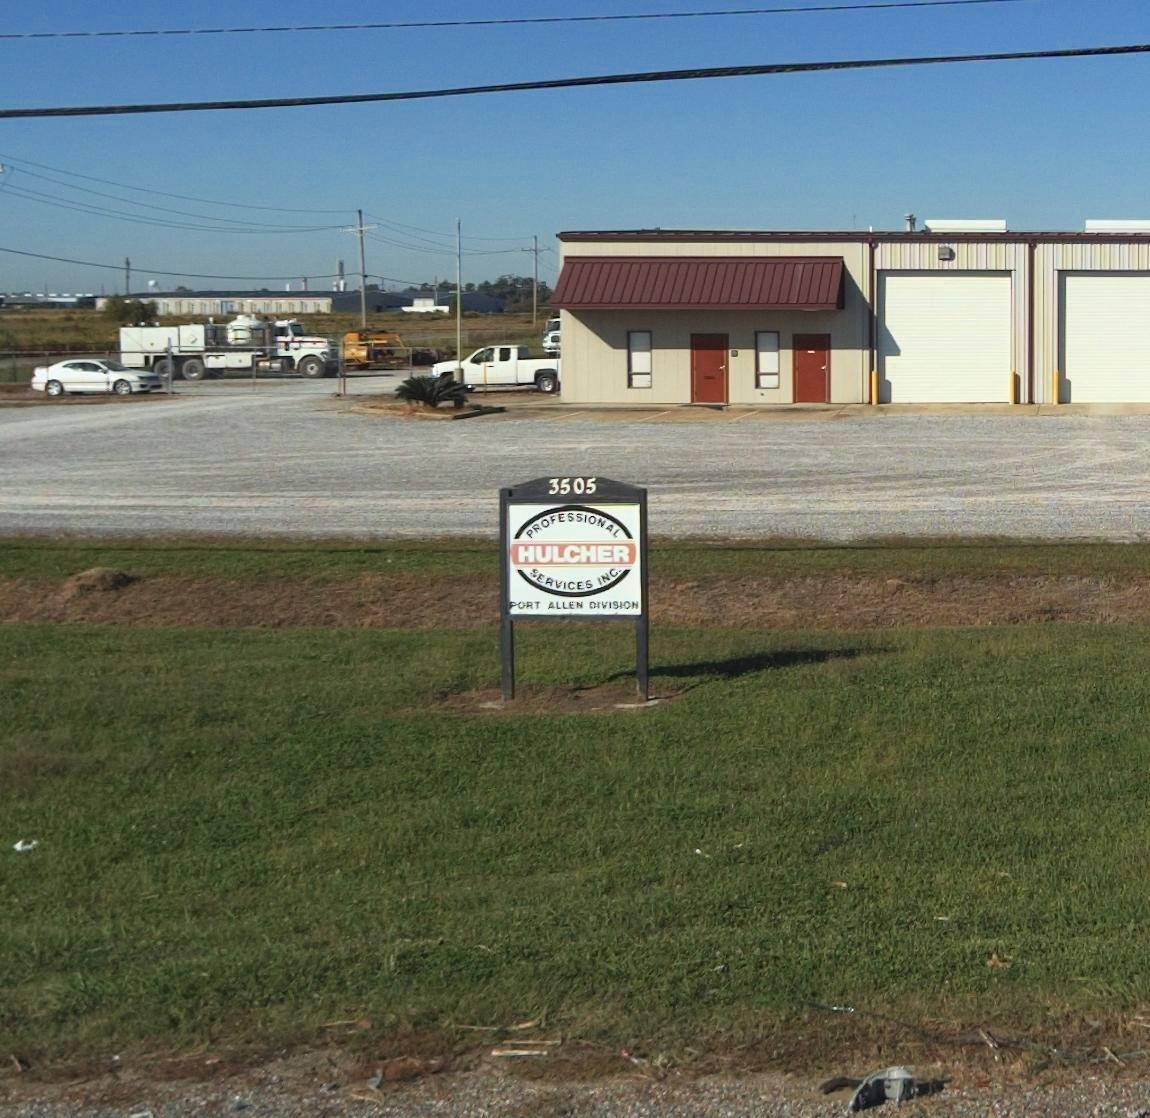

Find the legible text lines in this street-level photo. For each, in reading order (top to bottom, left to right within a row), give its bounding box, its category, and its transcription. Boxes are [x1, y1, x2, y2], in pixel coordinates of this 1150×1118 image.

[548, 477, 598, 495] StreetNumber: 3505
[523, 511, 624, 540] BusinessName: PROFESSIONAL
[517, 544, 631, 564] BusinessName: HULCHER
[526, 566, 625, 592] BusinessName: SERVICES INC.
[509, 600, 640, 611] None: PORT ALLEN DIVISION